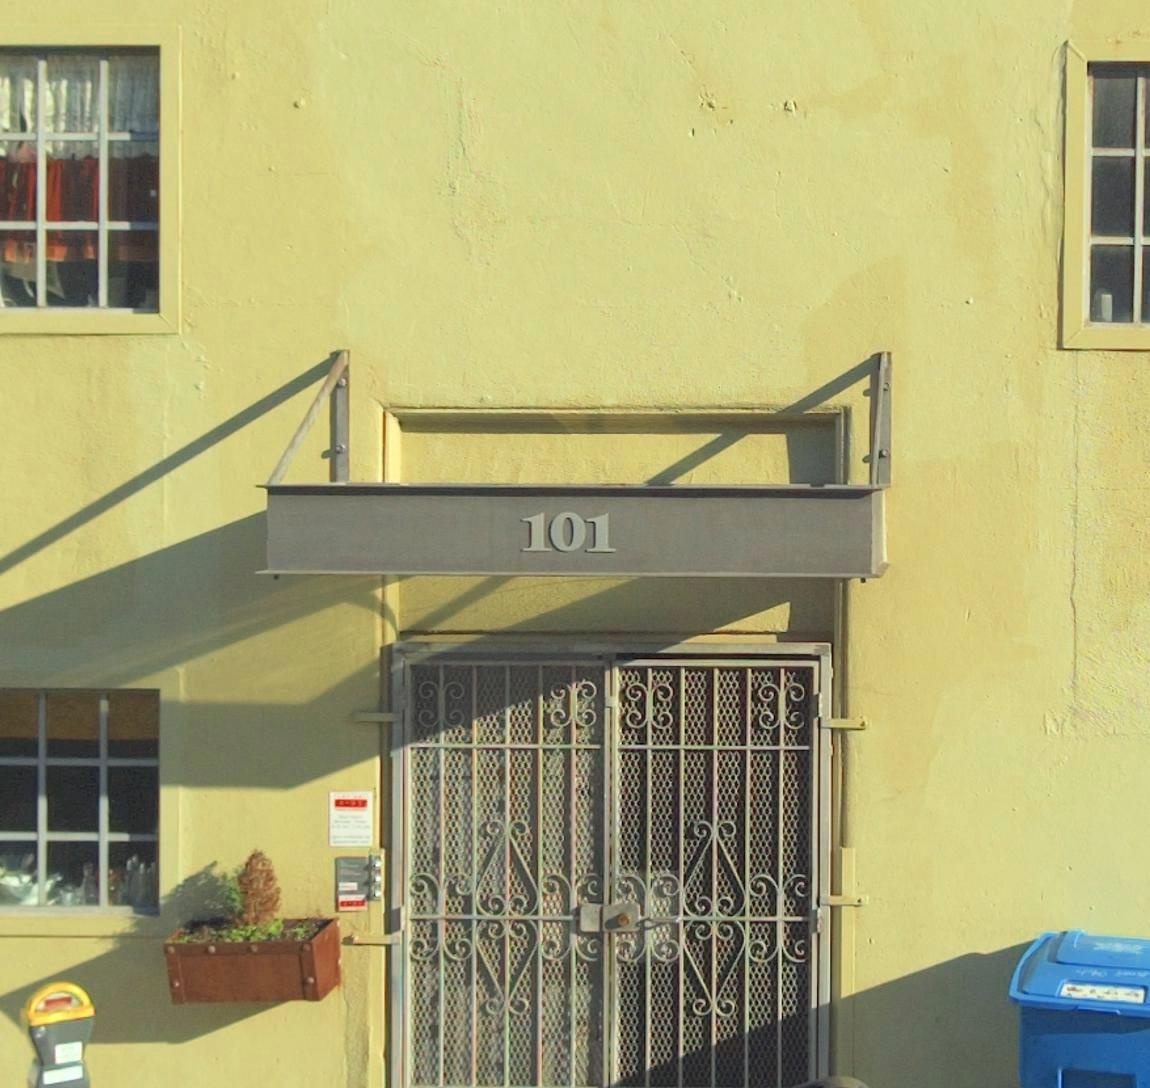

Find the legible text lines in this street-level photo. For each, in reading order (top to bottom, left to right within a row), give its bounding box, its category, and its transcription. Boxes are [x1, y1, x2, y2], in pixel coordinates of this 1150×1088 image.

[518, 510, 618, 554] StreetNumber: 101